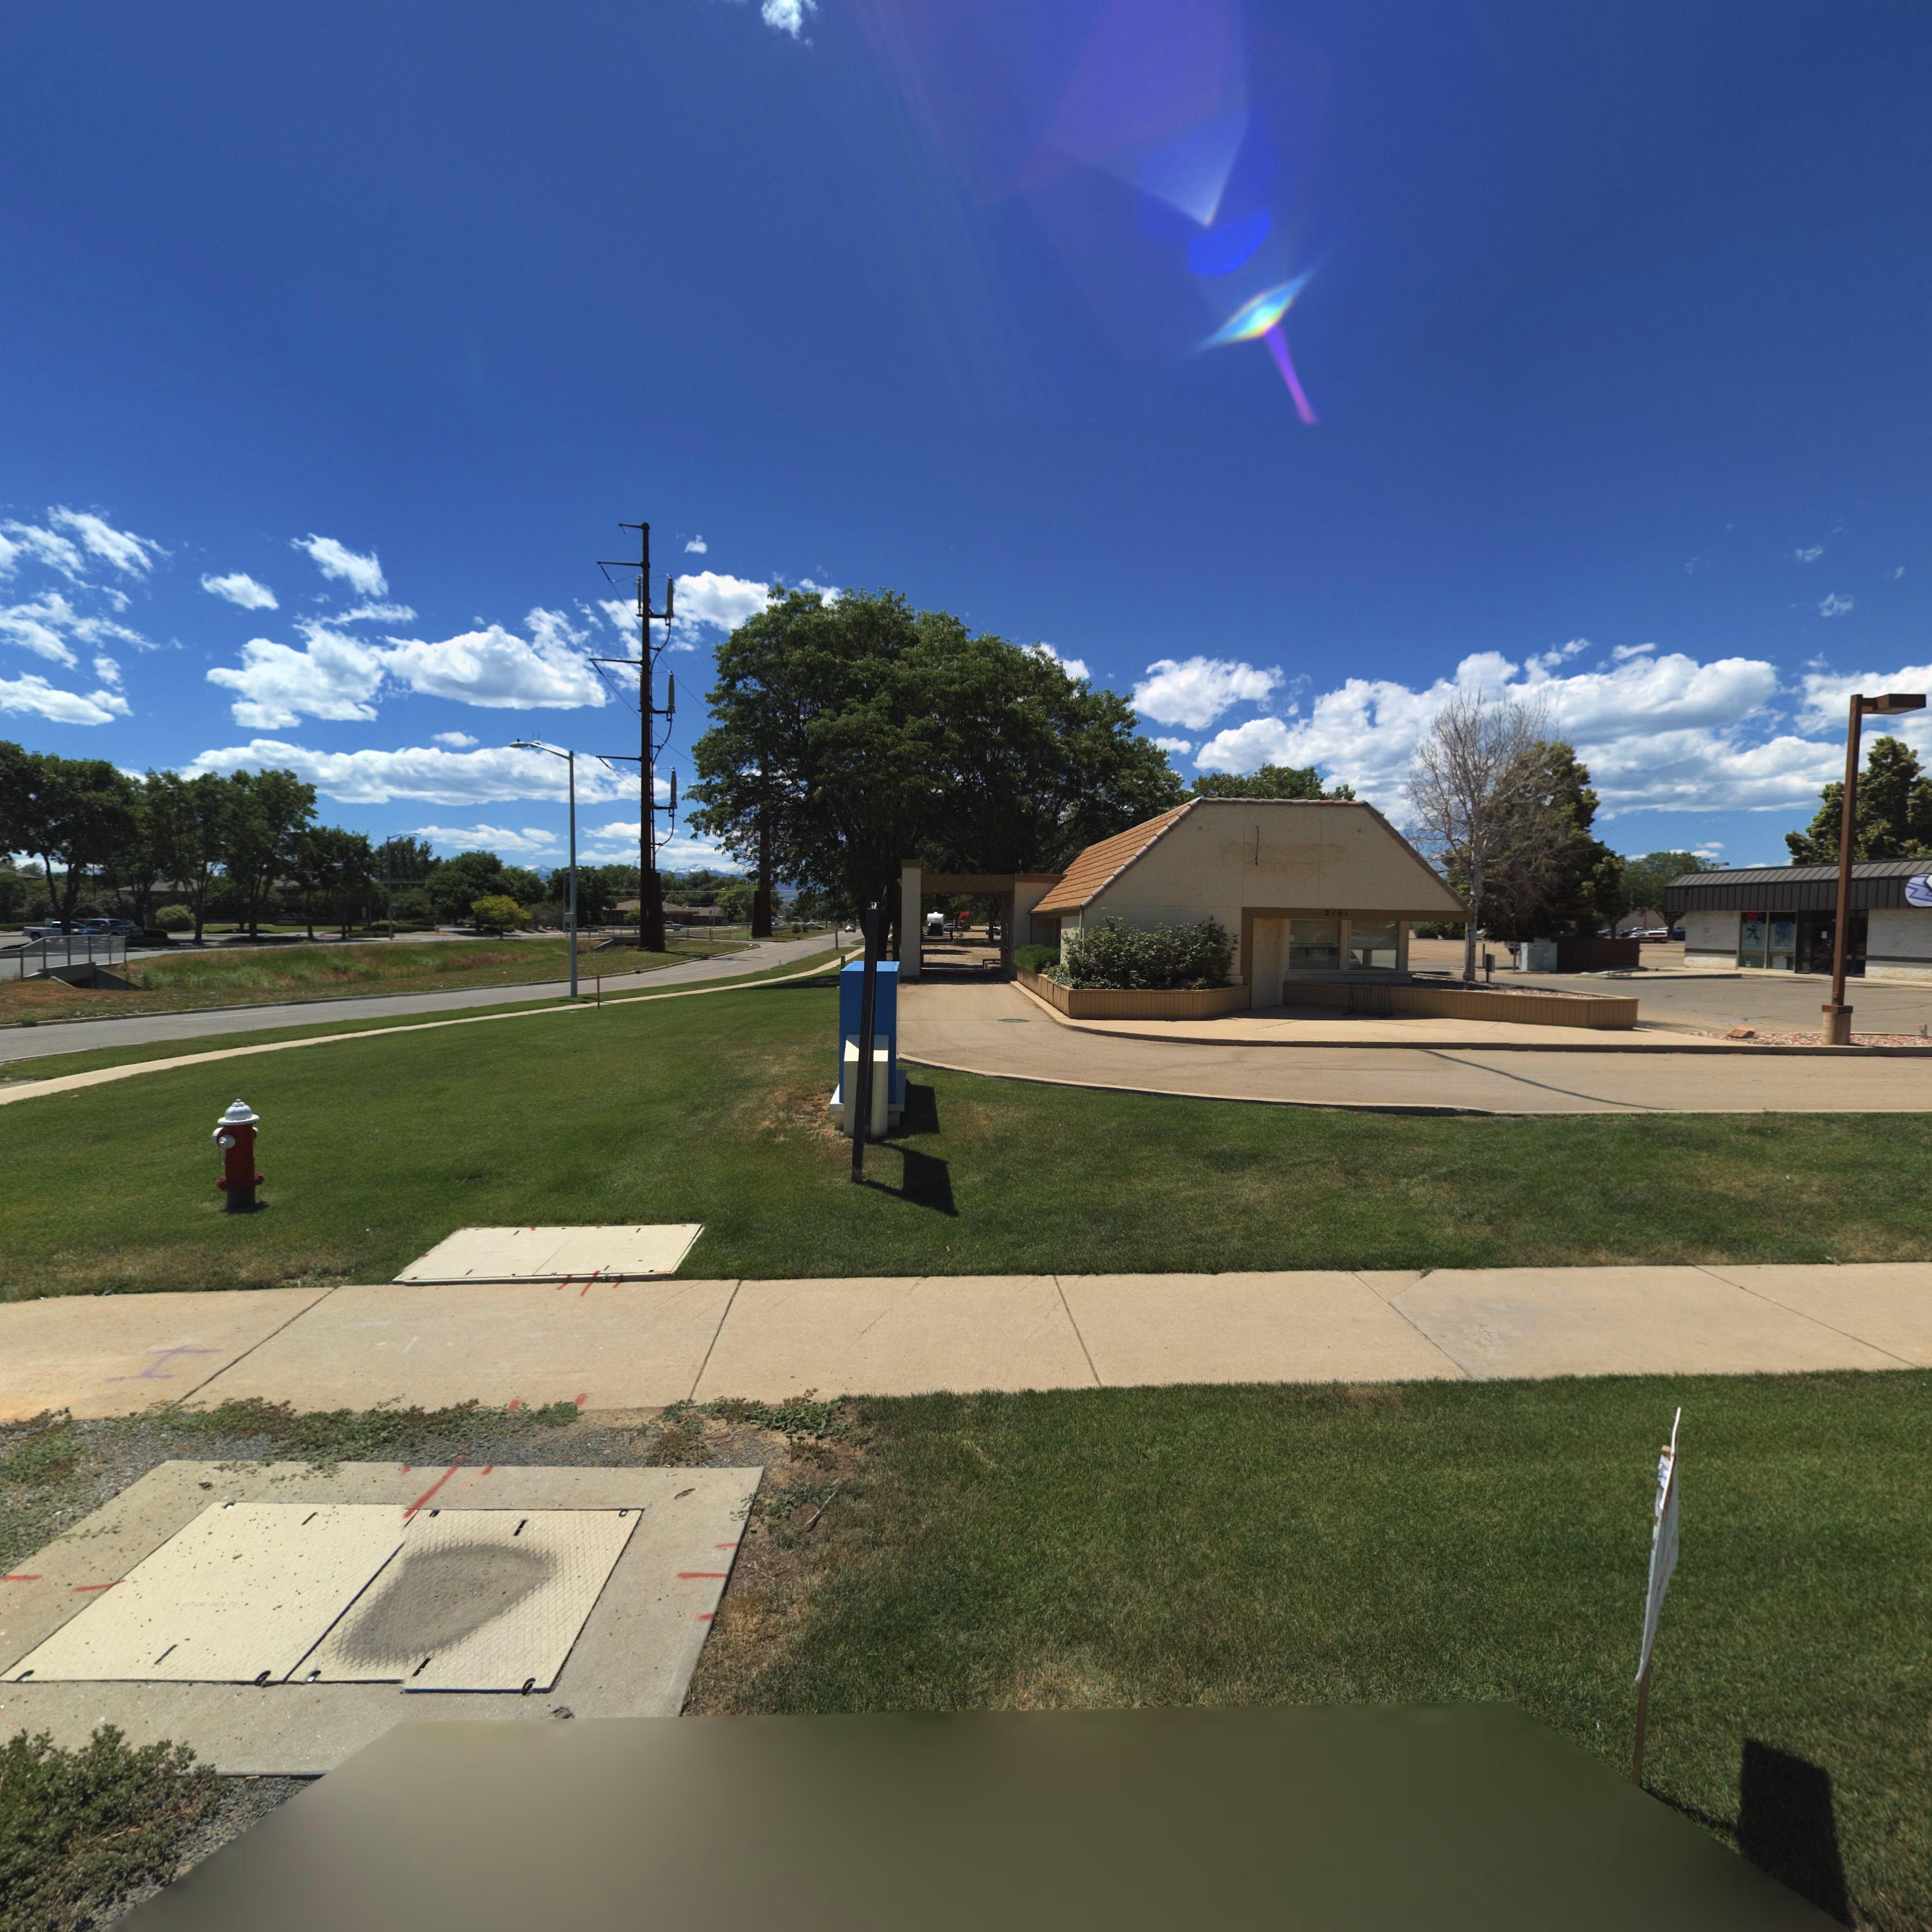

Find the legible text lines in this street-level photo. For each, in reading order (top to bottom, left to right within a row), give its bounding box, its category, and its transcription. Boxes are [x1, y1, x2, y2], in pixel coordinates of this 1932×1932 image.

[1323, 909, 1350, 917] StreetNumber: 2101